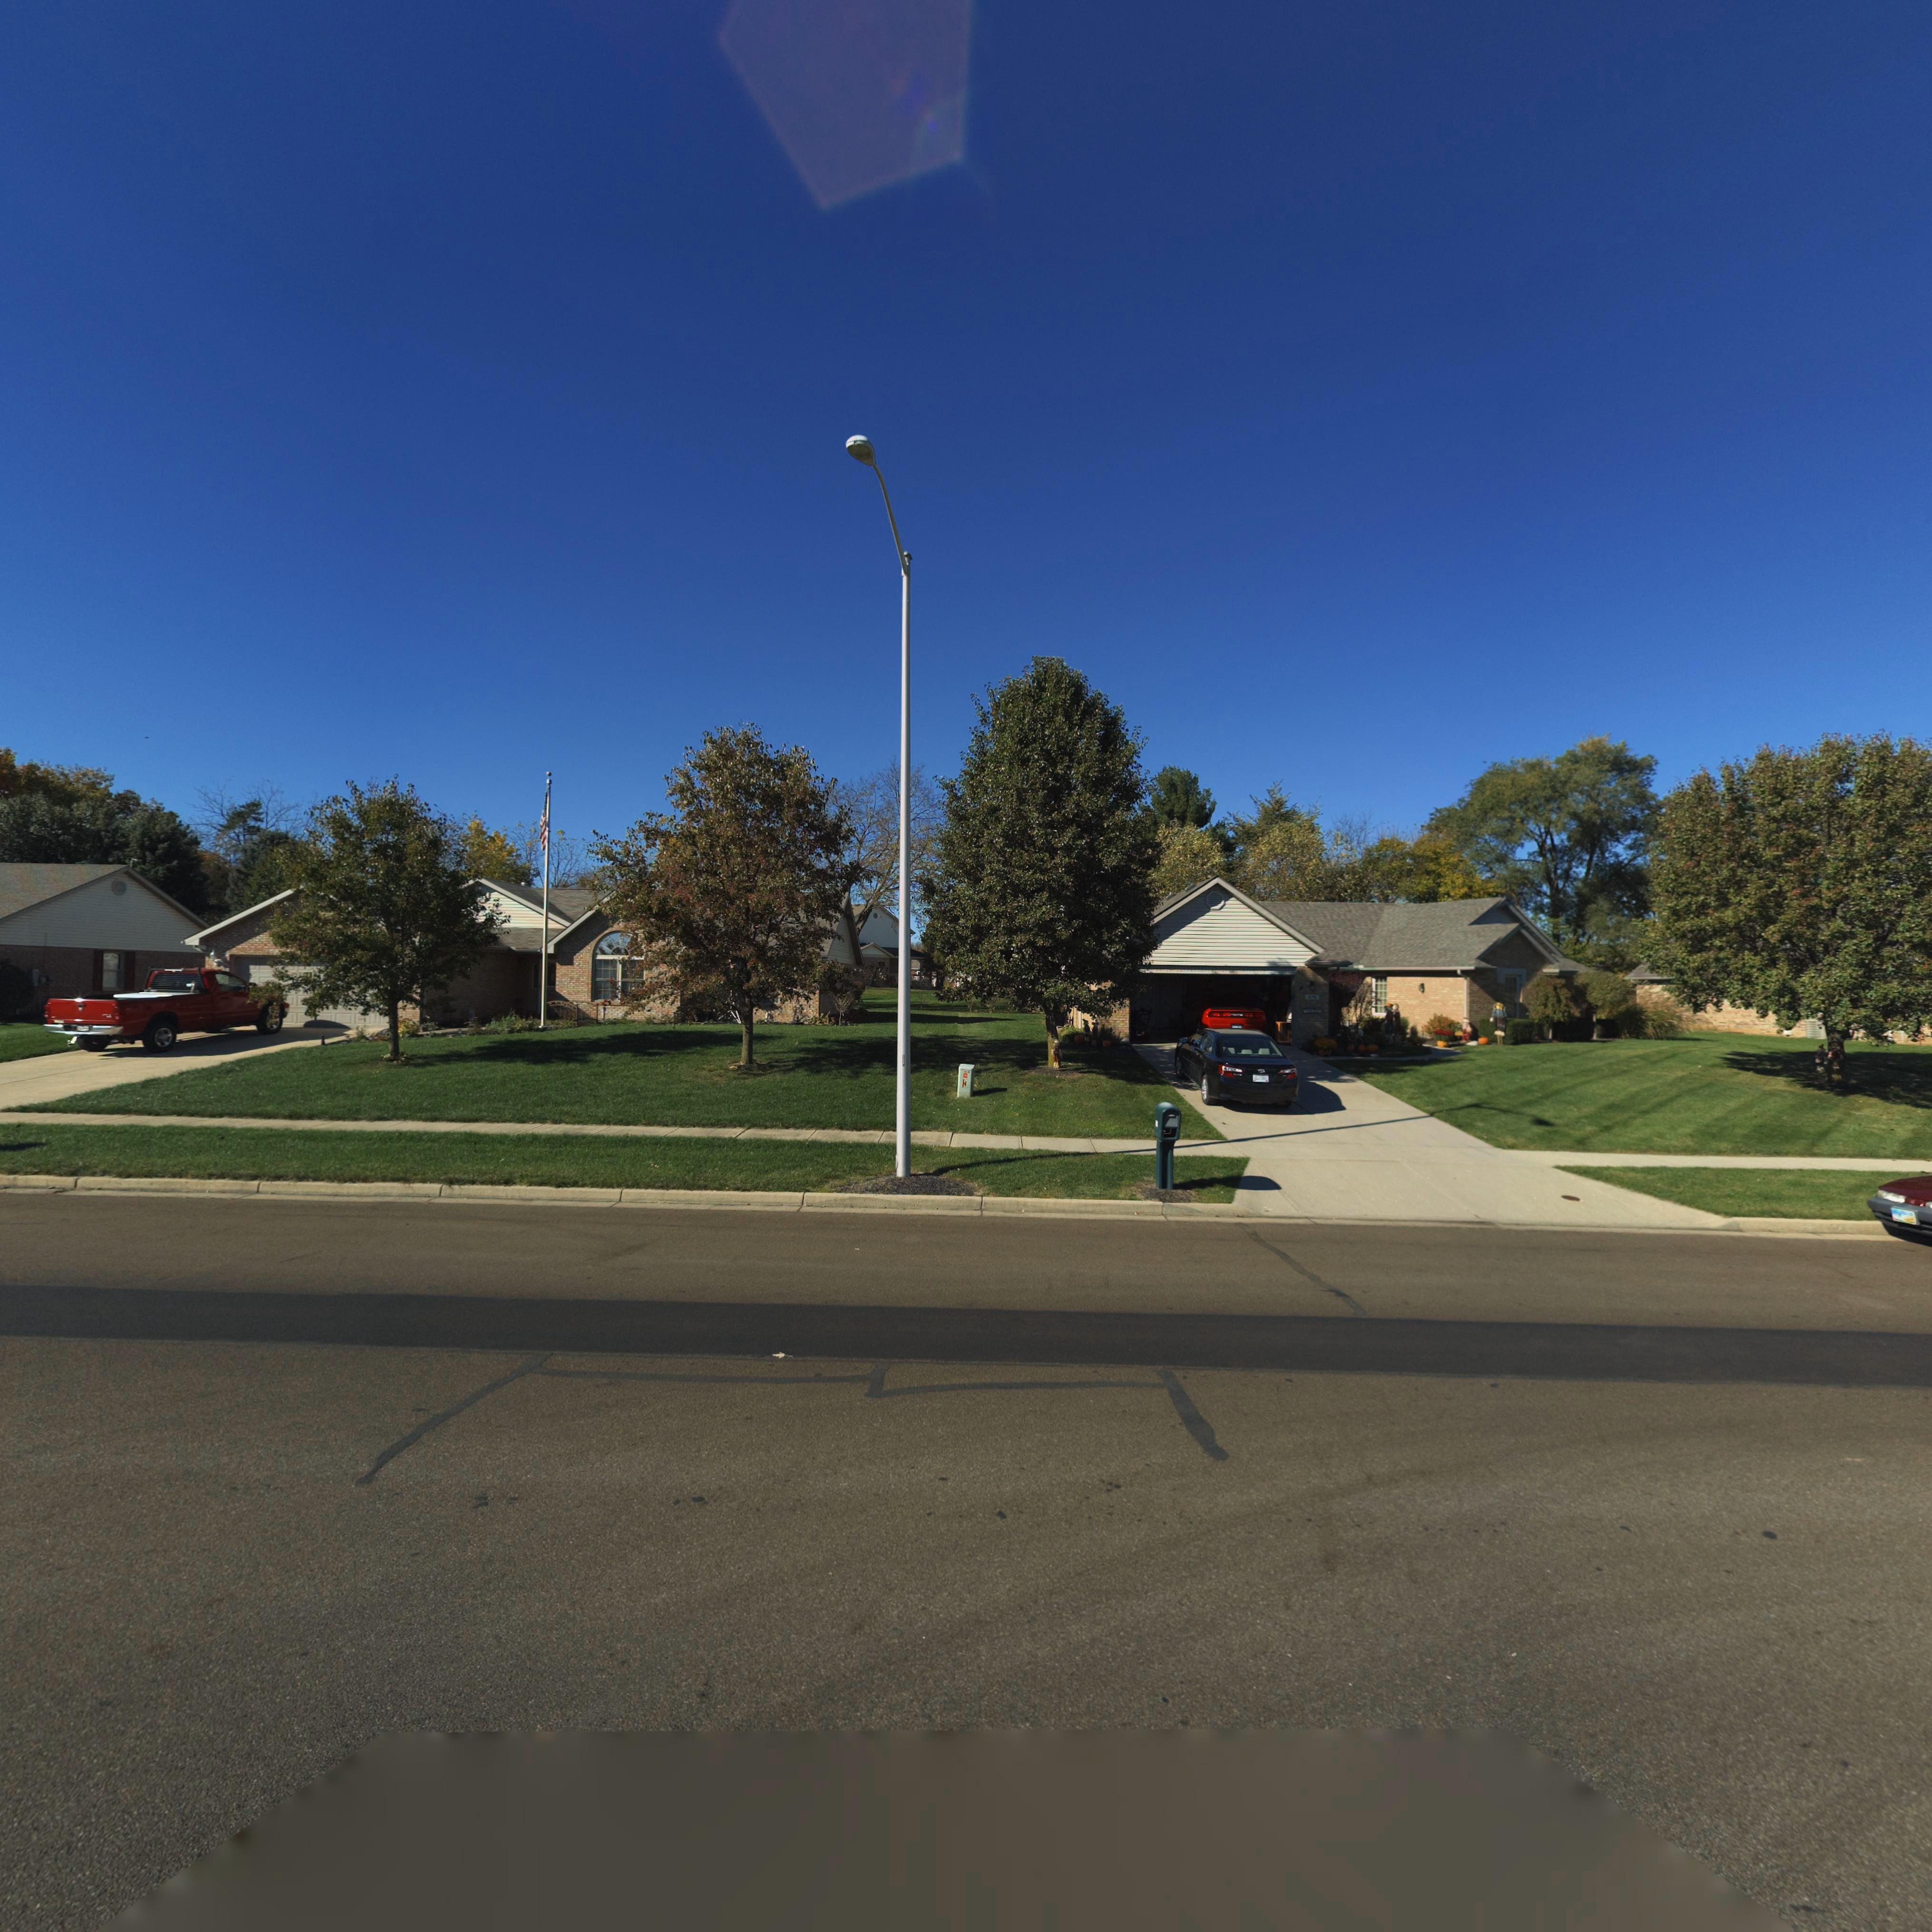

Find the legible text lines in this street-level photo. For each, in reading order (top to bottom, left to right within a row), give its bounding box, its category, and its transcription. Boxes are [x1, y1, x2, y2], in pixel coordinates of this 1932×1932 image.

[1308, 995, 1316, 999] StreetNumber: 37*